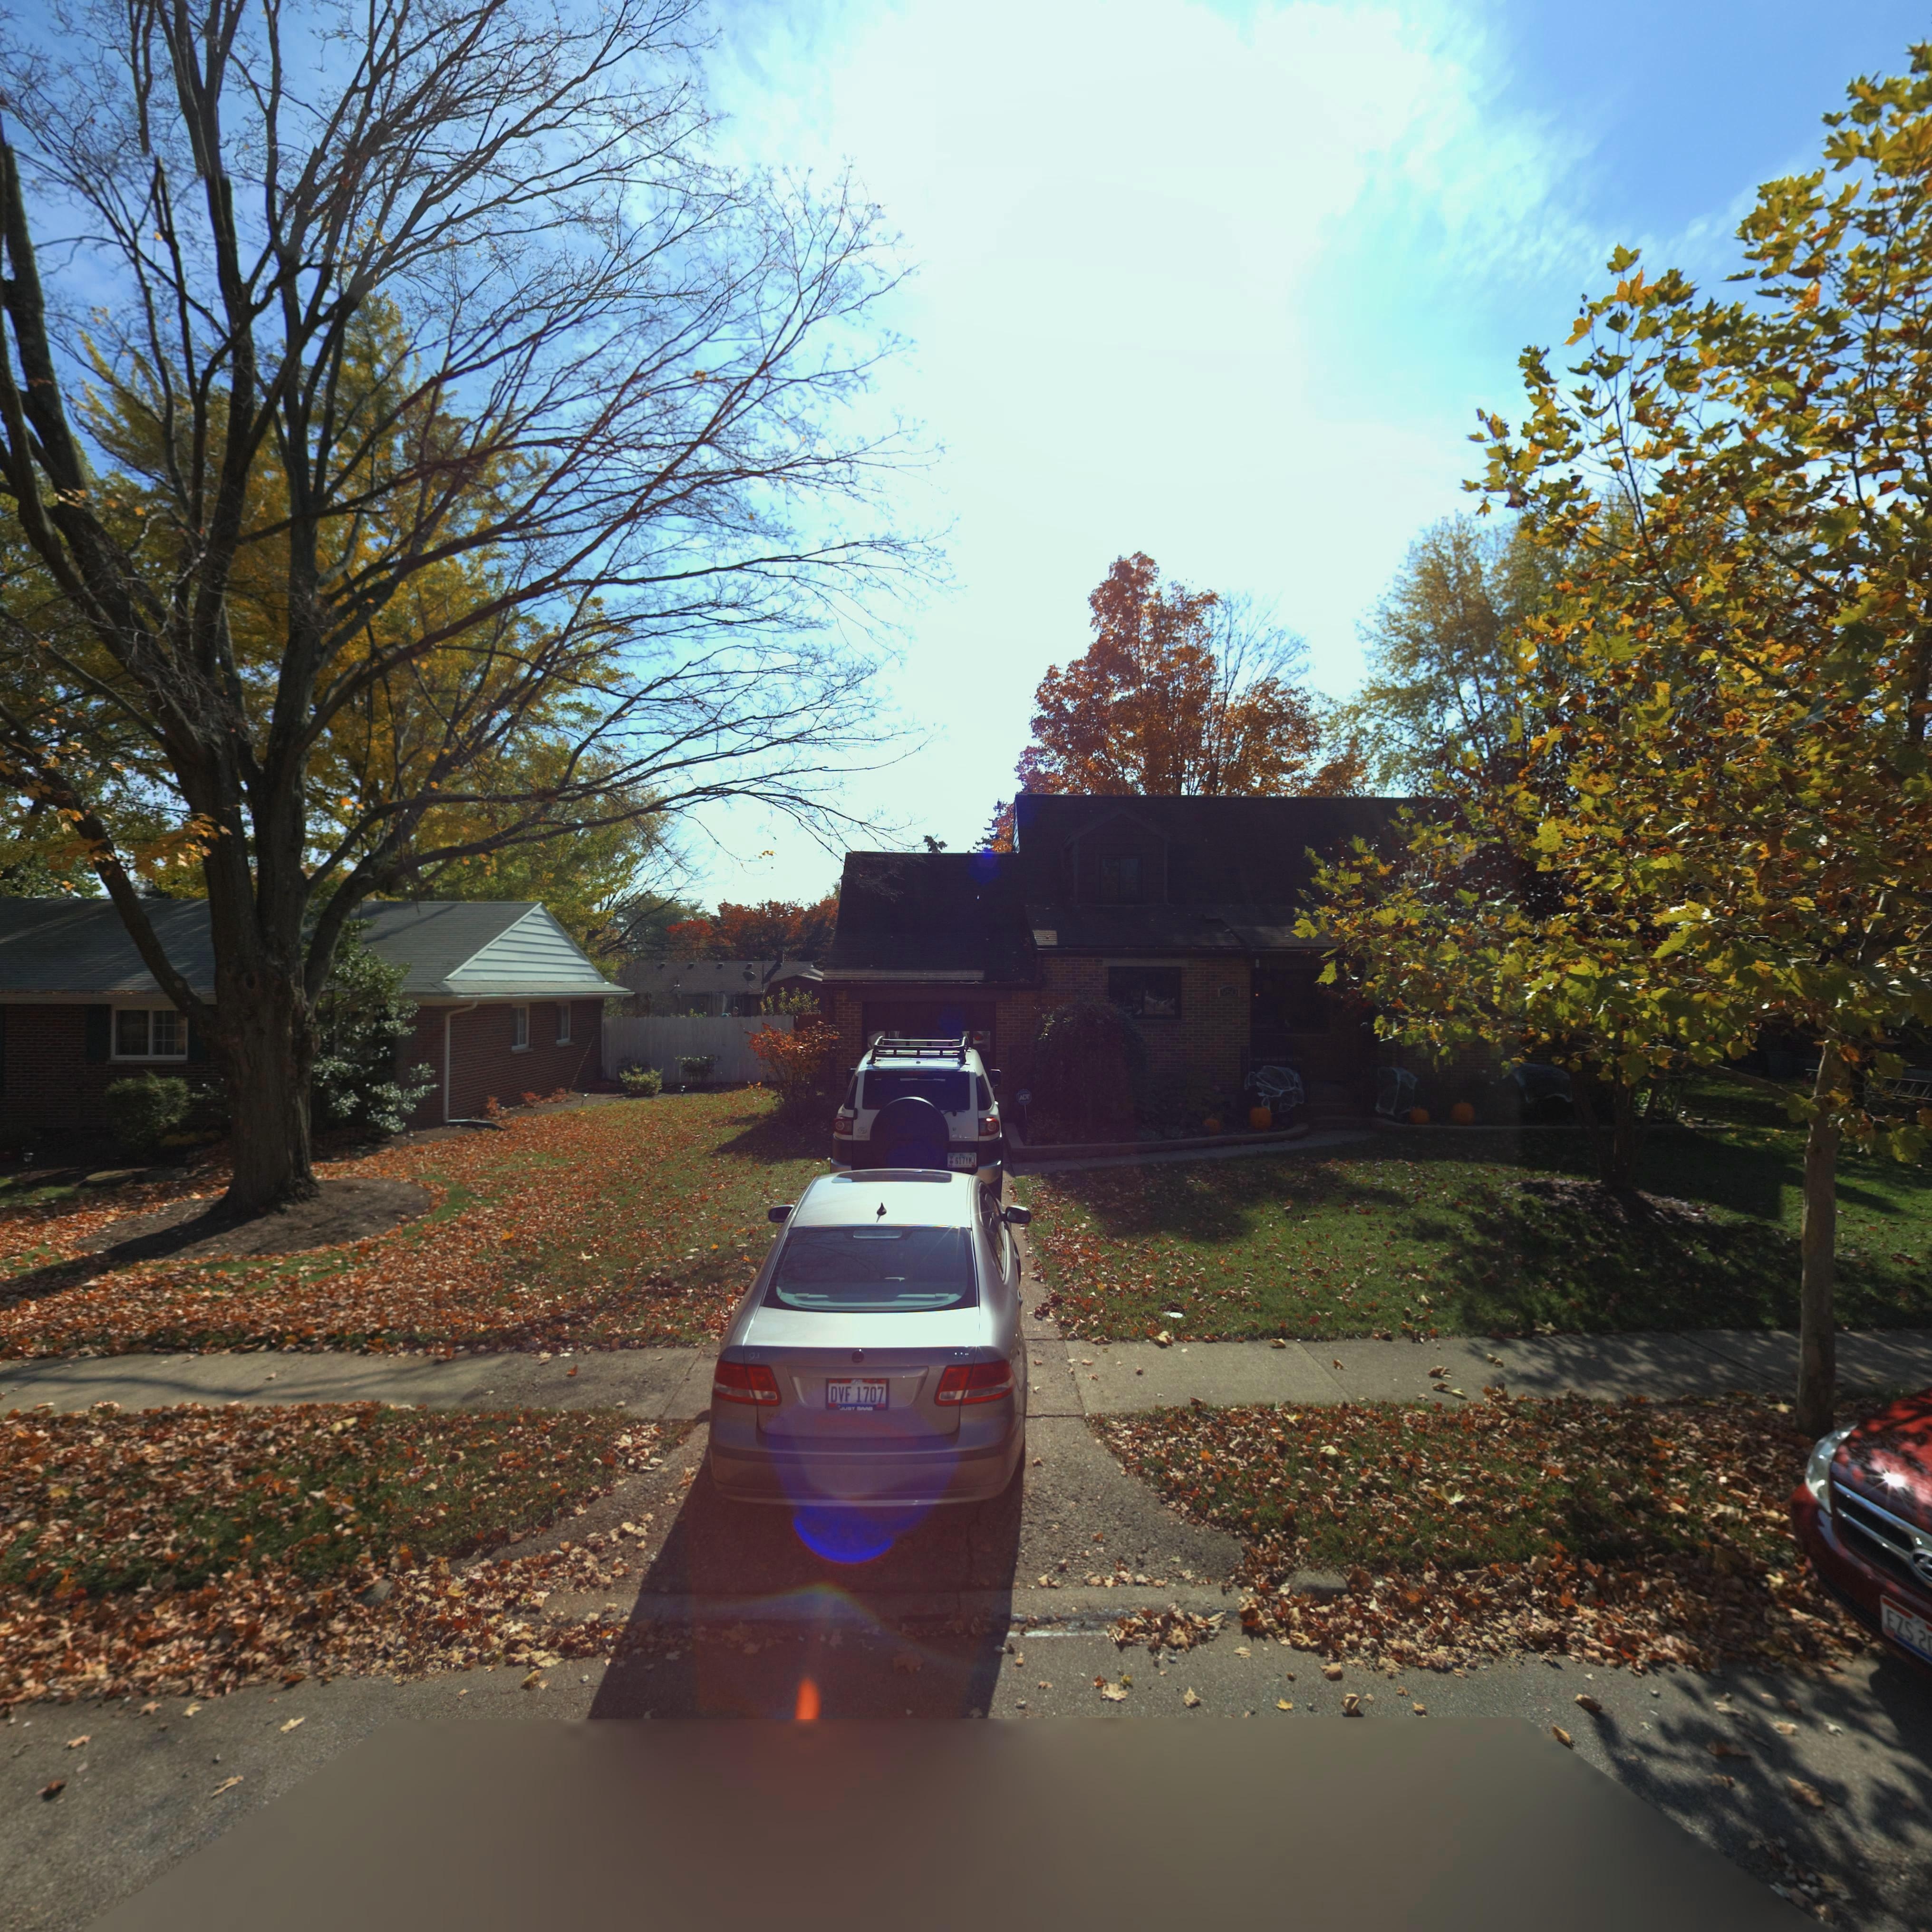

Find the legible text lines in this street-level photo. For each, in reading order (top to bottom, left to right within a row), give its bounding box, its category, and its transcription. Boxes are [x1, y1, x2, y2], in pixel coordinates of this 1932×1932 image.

[1220, 986, 1238, 997] StreetNumber: 950
[1018, 1093, 1031, 1101] None: ADT
[954, 1155, 976, 1165] None: 617V*J
[746, 1350, 763, 1363] None: 93
[828, 1383, 888, 1406] None: DVF 1707
[1884, 1604, 1930, 1658] None: EZS 2